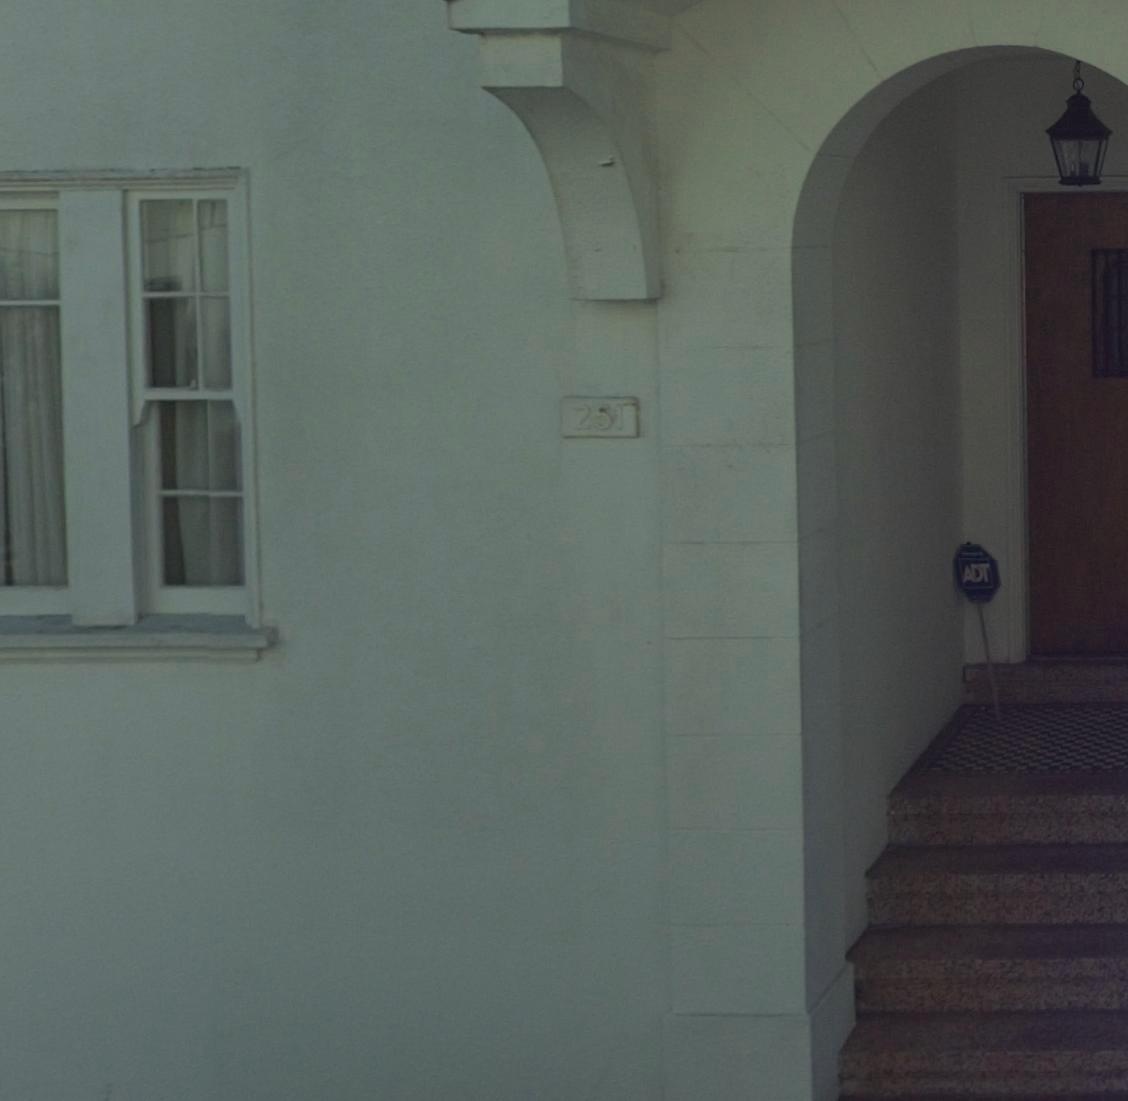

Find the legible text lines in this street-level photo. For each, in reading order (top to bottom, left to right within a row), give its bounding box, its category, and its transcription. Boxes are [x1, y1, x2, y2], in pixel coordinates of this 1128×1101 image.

[569, 403, 625, 431] StreetNumber: 251
[962, 562, 991, 584] None: ADT